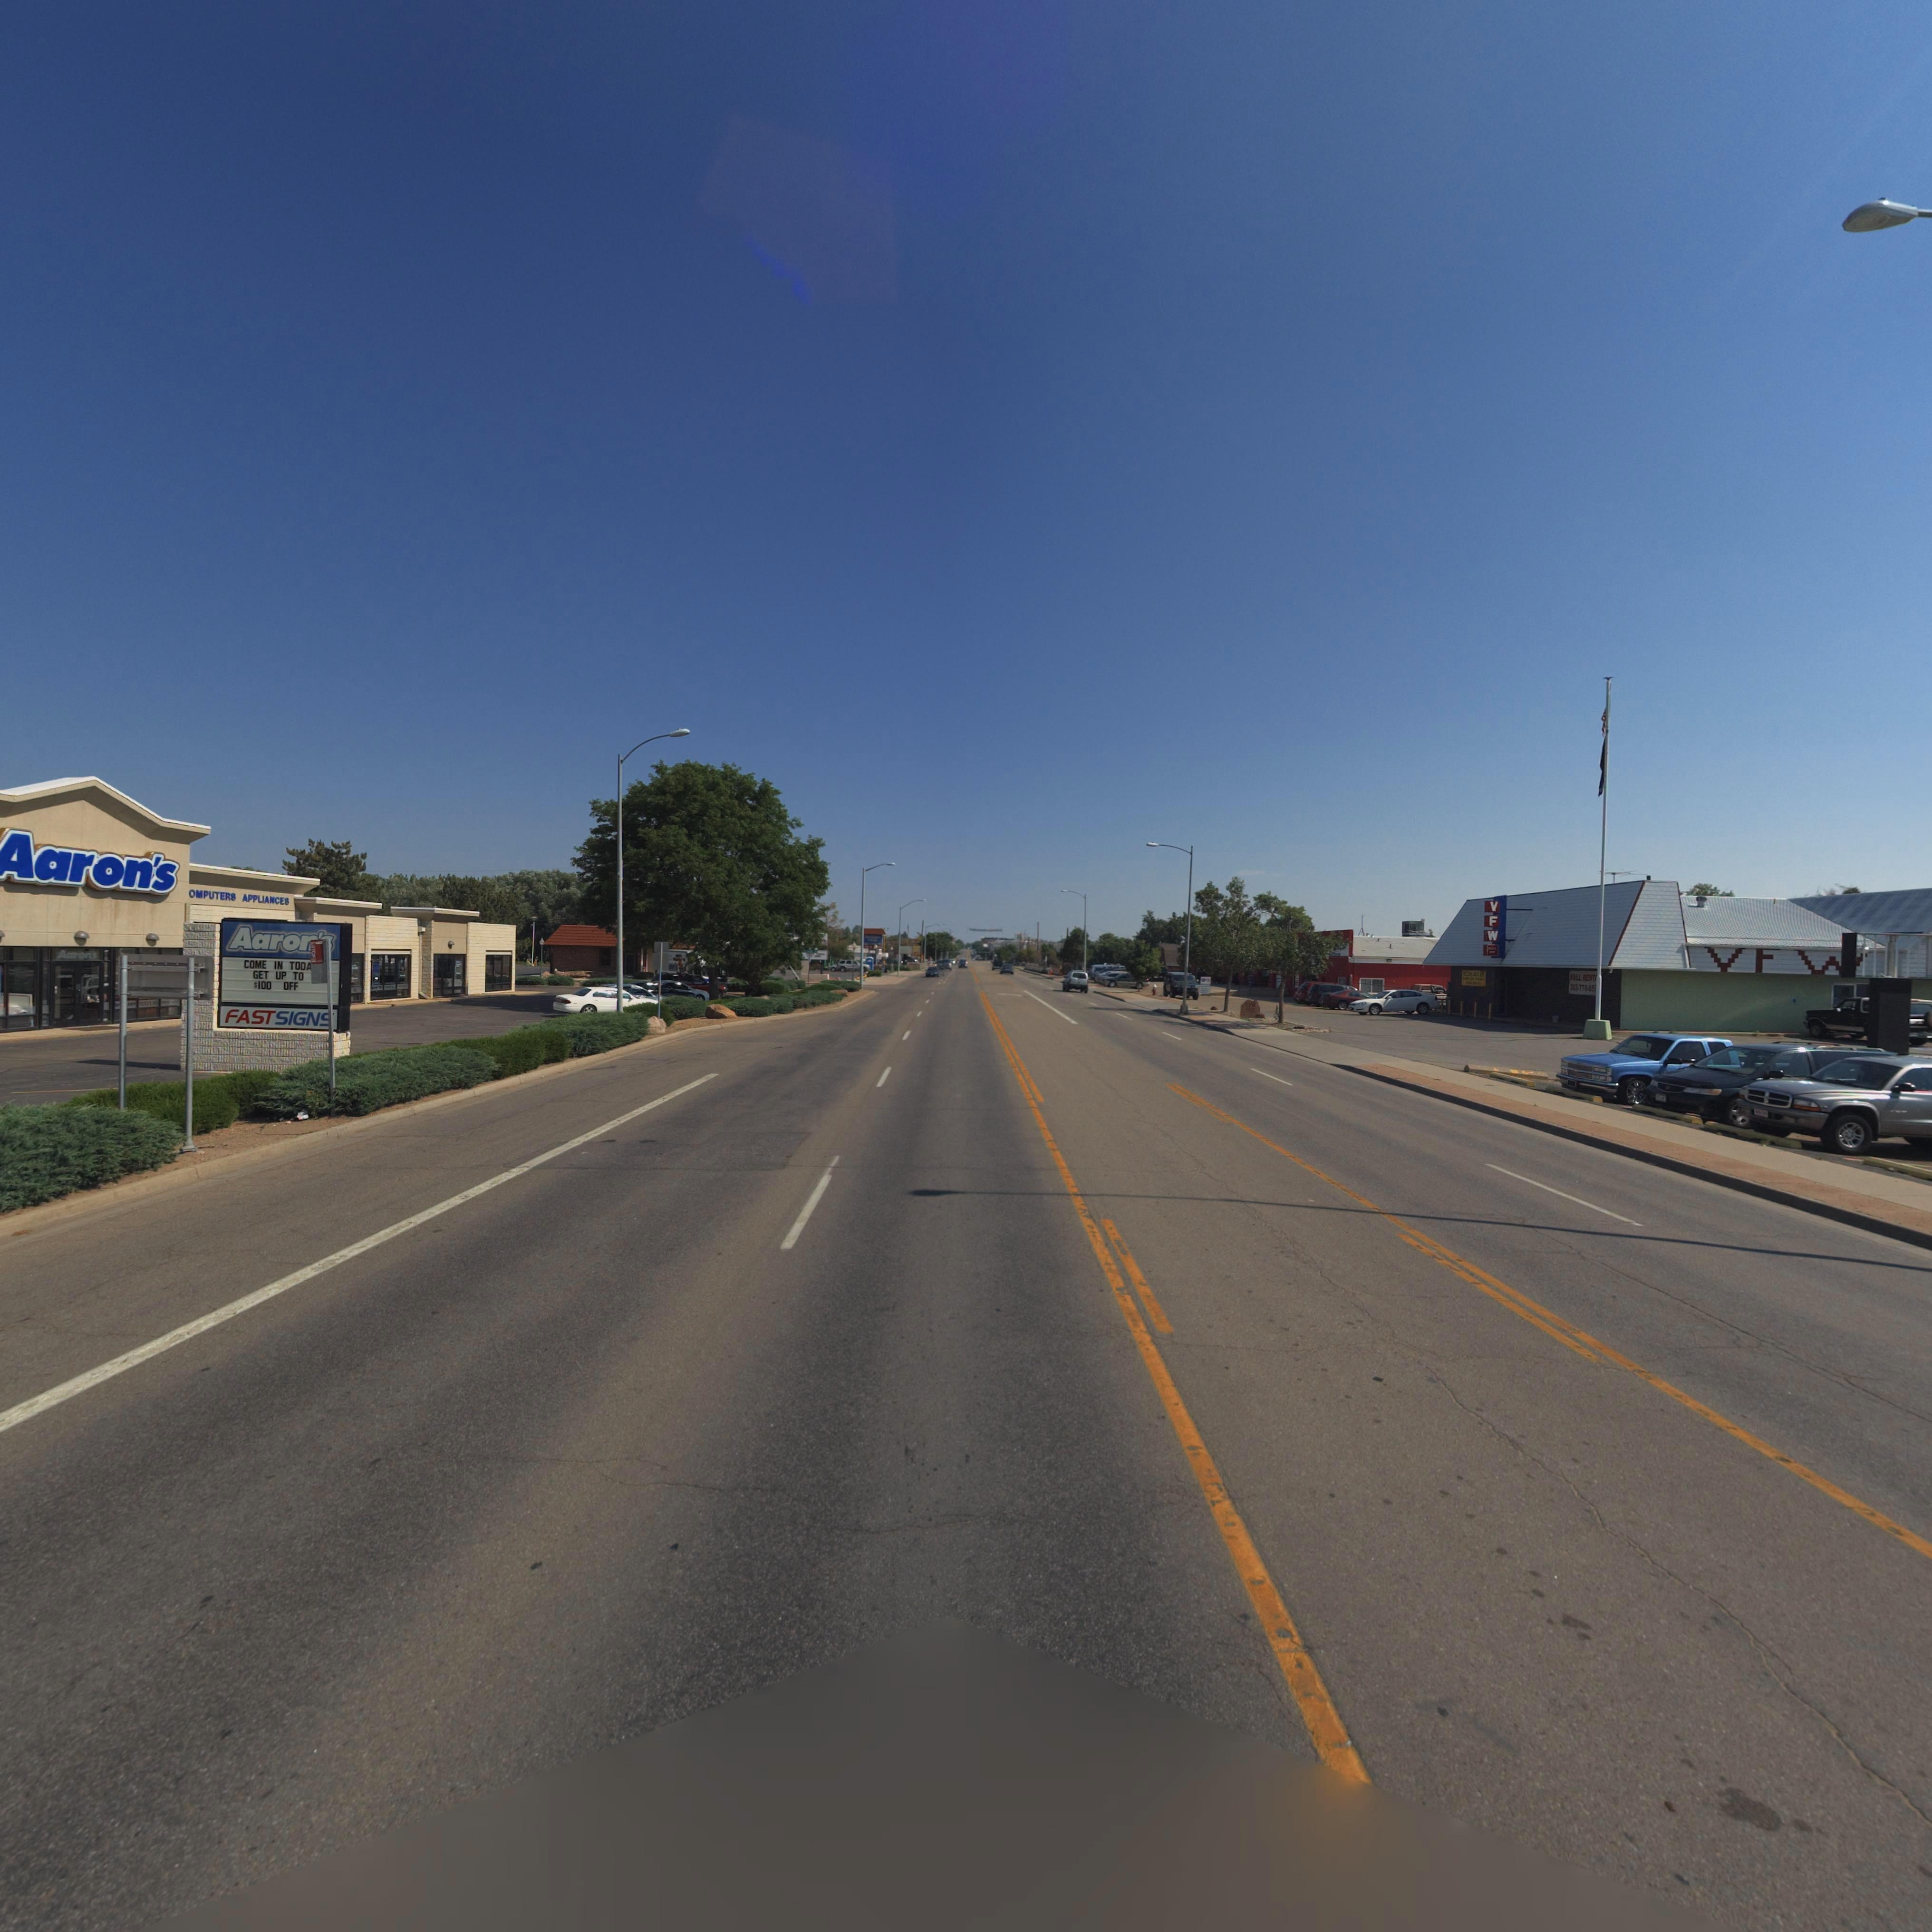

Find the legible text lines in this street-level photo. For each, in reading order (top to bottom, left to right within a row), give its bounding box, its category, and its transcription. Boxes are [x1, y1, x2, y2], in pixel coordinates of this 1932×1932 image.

[32, 843, 181, 896] BusinessName: aron's
[1486, 900, 1499, 941] BusinessName: VFW
[55, 949, 98, 959] BusinessName: Aaron's
[227, 925, 337, 953] BusinessName: Aaro***
[1702, 946, 1842, 976] BusinessName: VF*
[223, 1007, 336, 1027] BusinessName: FASTSIGN*